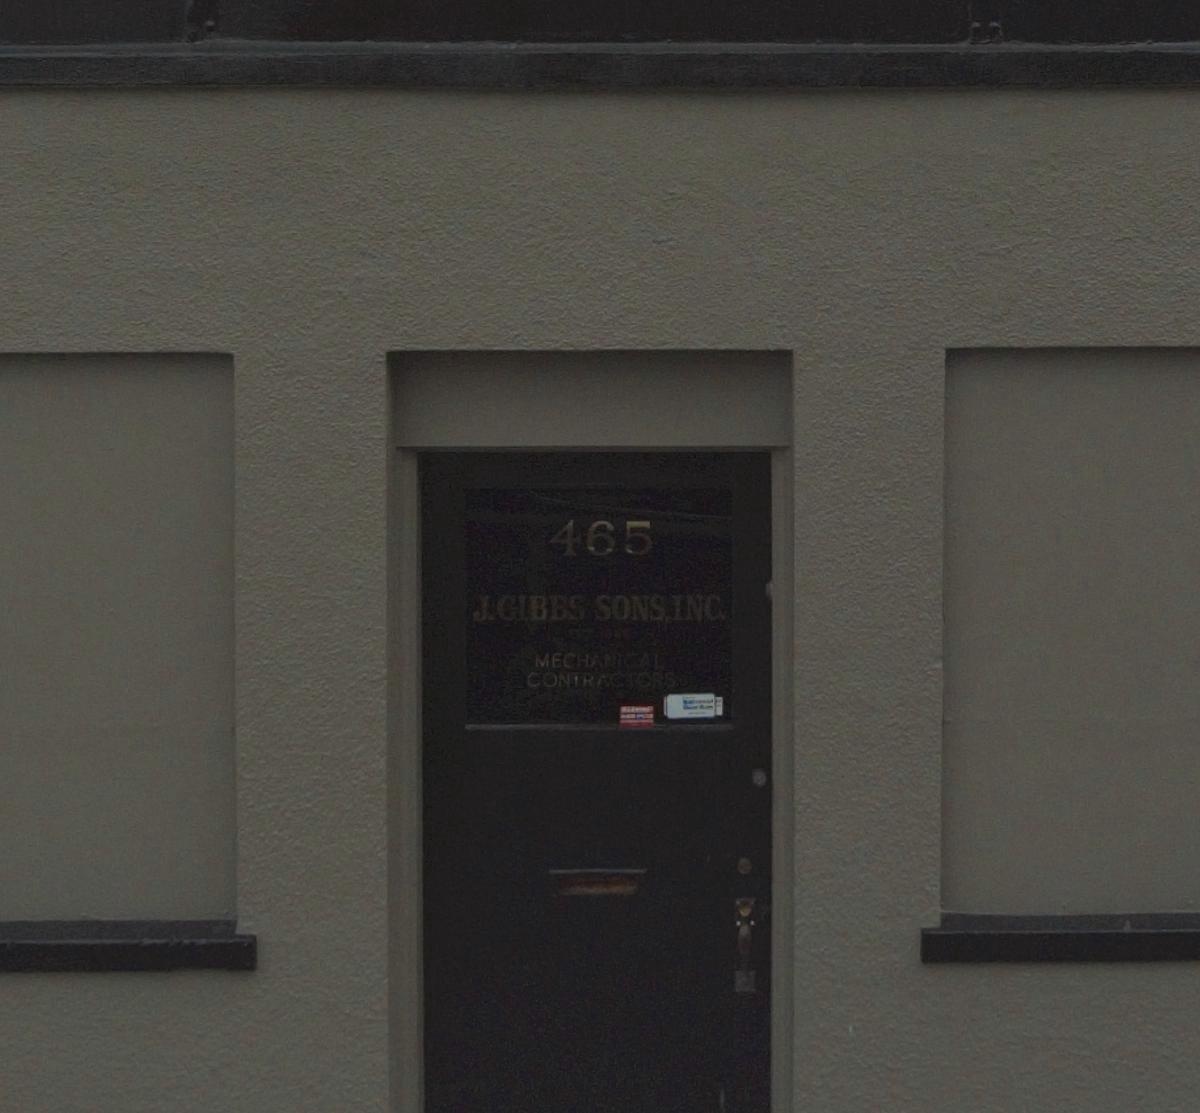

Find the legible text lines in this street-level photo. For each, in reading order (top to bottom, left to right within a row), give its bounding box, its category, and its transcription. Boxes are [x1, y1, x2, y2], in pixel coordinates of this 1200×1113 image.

[543, 516, 655, 559] StreetNumber: 465
[469, 589, 731, 627] None: J.GIBBS SONS.INC.
[531, 648, 668, 672] None: MECHAN*CAL
[524, 669, 679, 691] None: CONTR***ORS